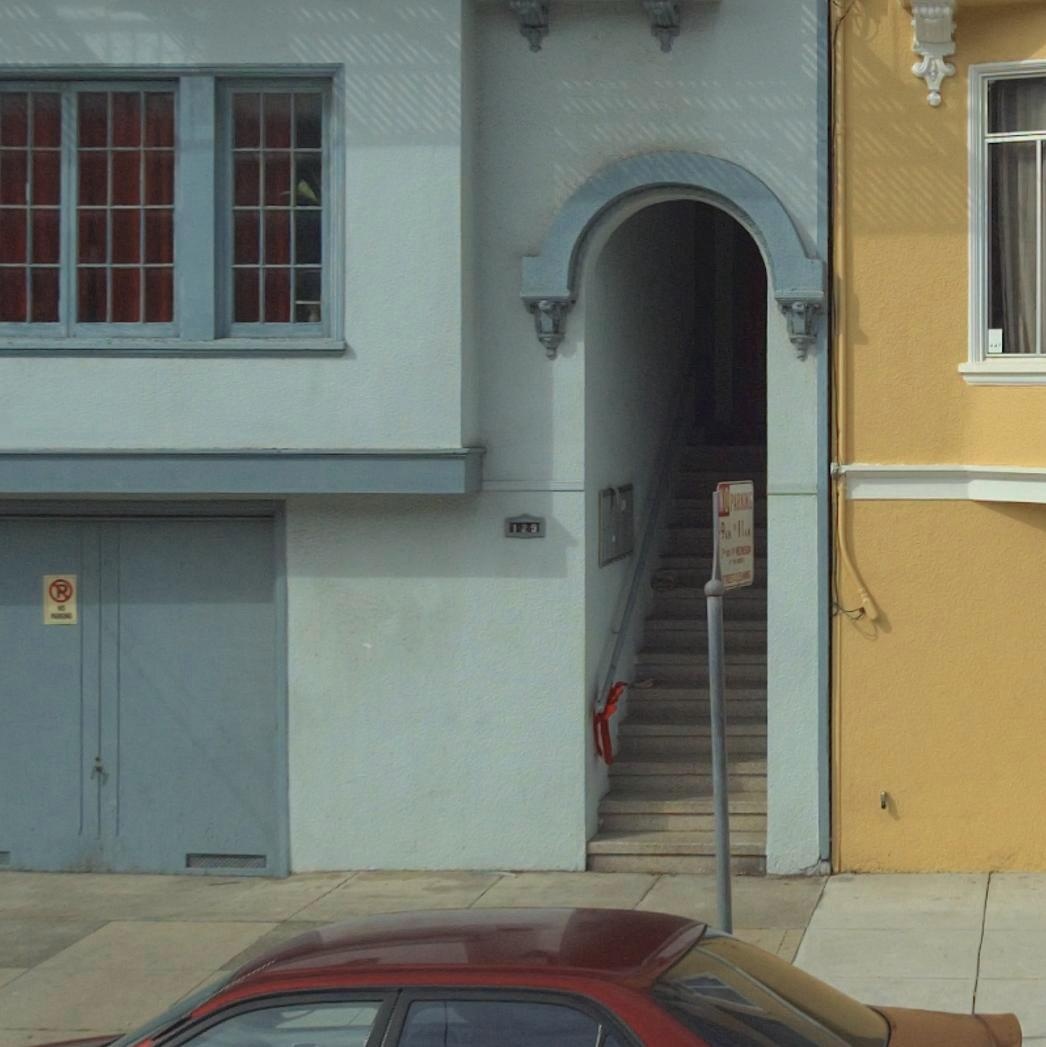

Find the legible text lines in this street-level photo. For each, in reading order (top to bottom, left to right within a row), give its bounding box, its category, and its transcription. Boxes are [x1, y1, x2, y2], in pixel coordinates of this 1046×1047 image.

[511, 523, 539, 533] StreetNumber: 129
[719, 520, 727, 540] None: 9
[736, 517, 746, 540] None: 11